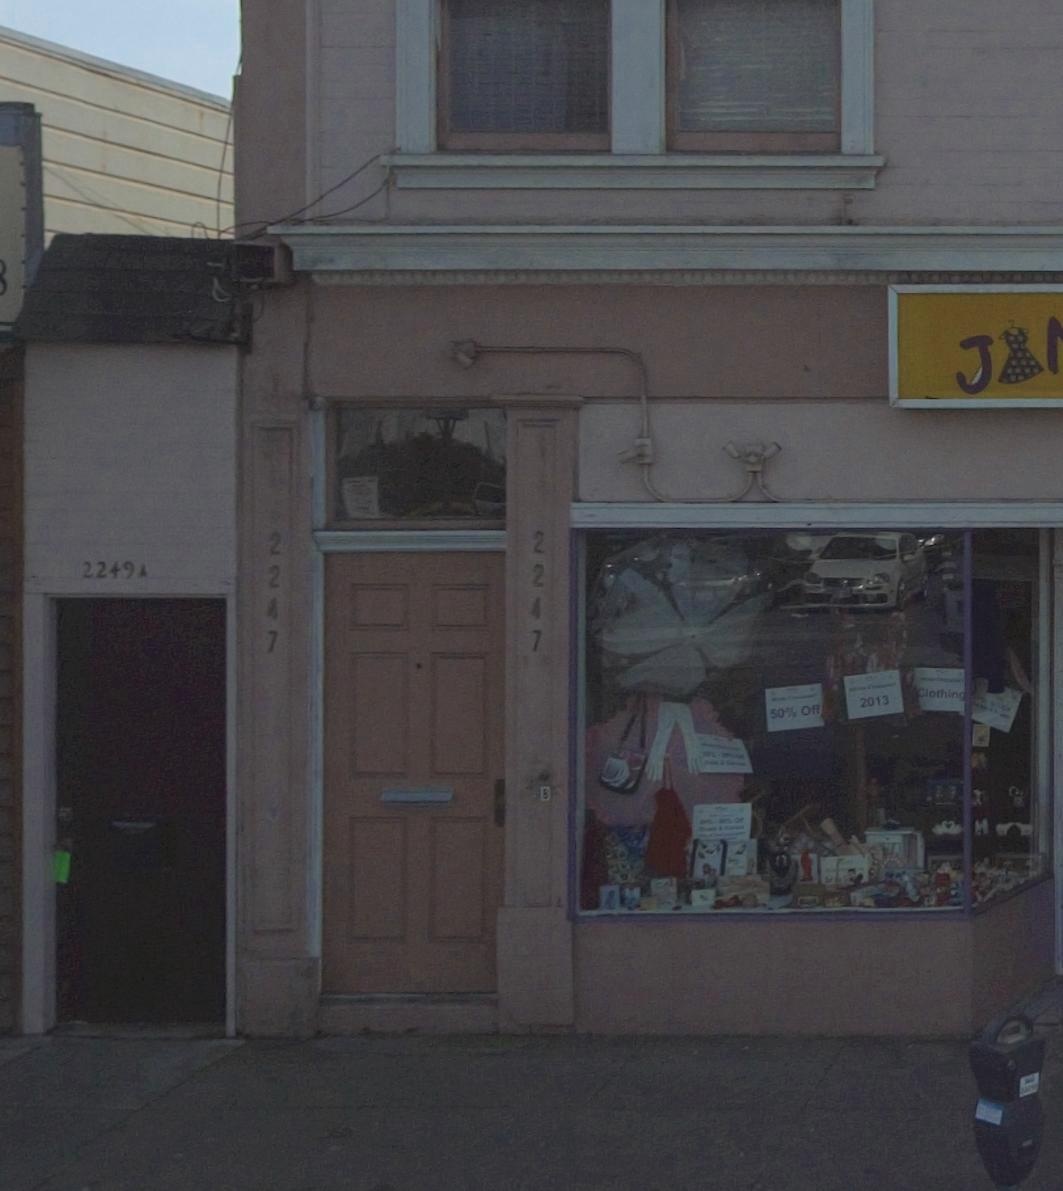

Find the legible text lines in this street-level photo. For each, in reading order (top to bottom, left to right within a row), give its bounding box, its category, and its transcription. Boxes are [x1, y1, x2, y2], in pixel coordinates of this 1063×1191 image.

[953, 331, 998, 398] BusinessName: J
[80, 559, 149, 581] StreetNumber: 2249A
[265, 527, 282, 656] StreetNumber: 2247
[528, 527, 547, 654] StreetNumber: 2247
[768, 702, 821, 721] None: 50% Off
[857, 692, 893, 710] None: 2013
[916, 685, 967, 704] None: *lothin*